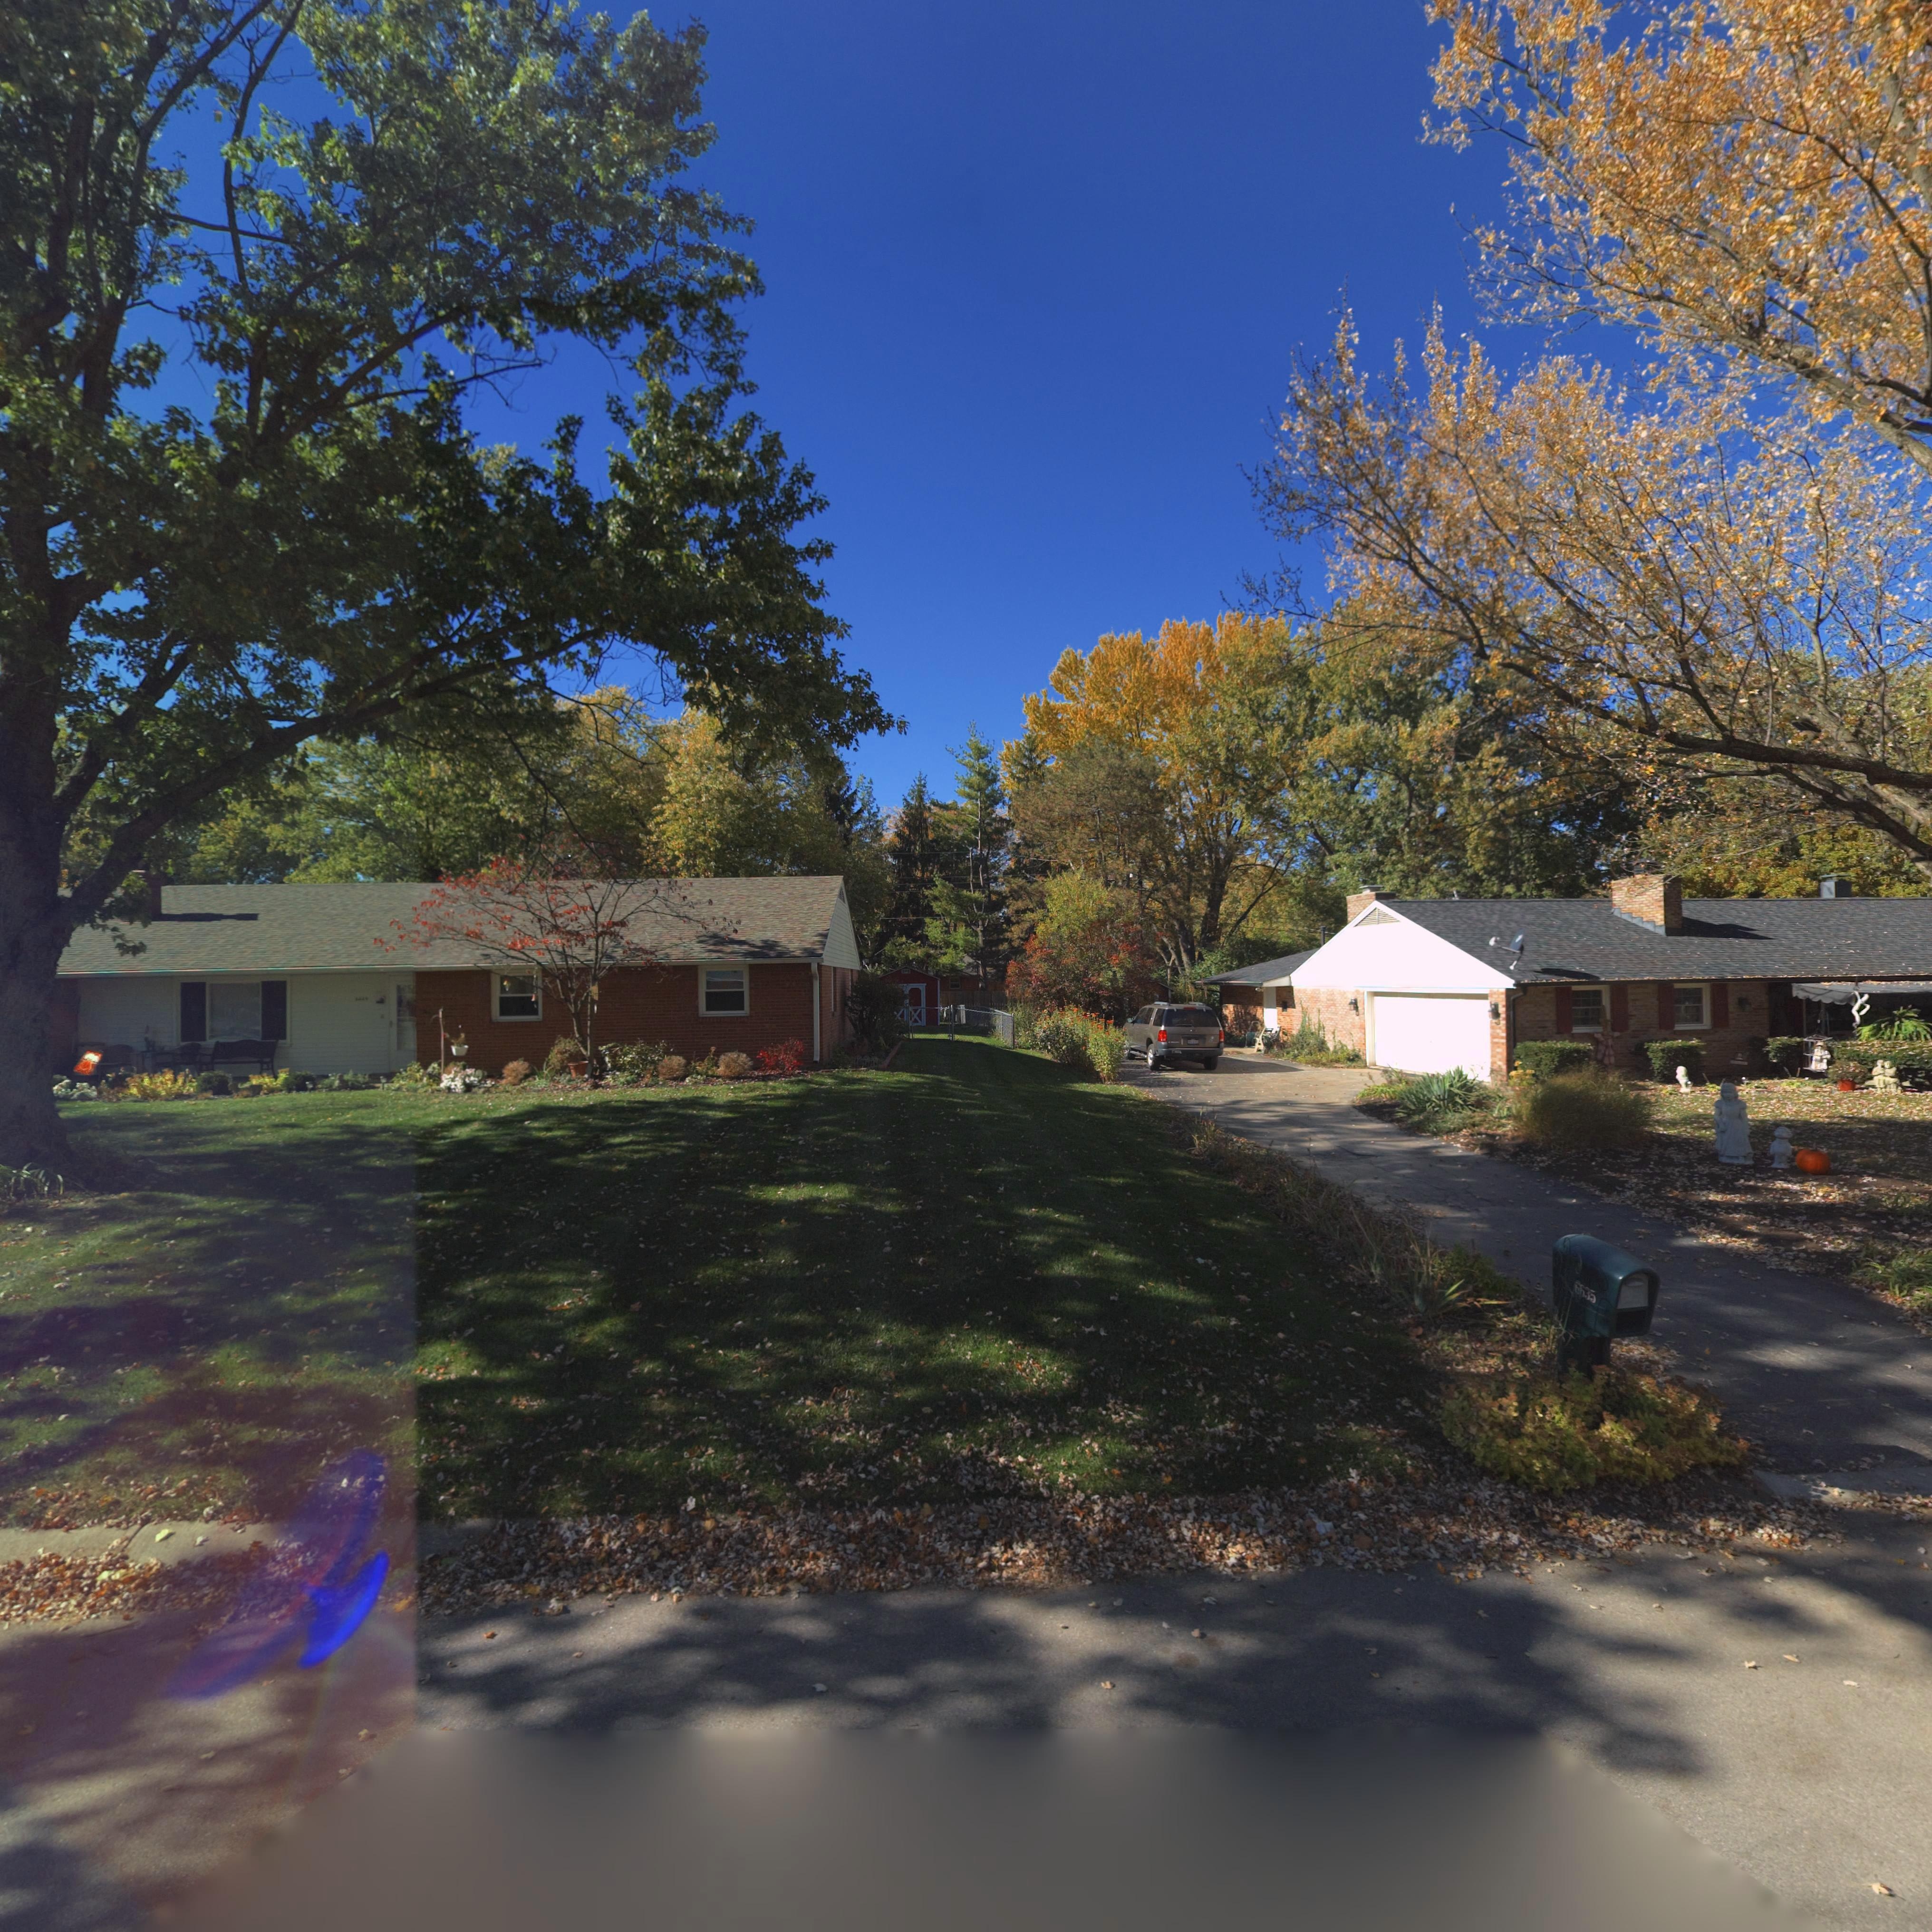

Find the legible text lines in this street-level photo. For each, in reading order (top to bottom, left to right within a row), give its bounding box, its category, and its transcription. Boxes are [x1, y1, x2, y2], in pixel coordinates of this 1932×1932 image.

[354, 996, 369, 1002] StreetNumber: **49
[1574, 1280, 1596, 1304] StreetNumber: 6635